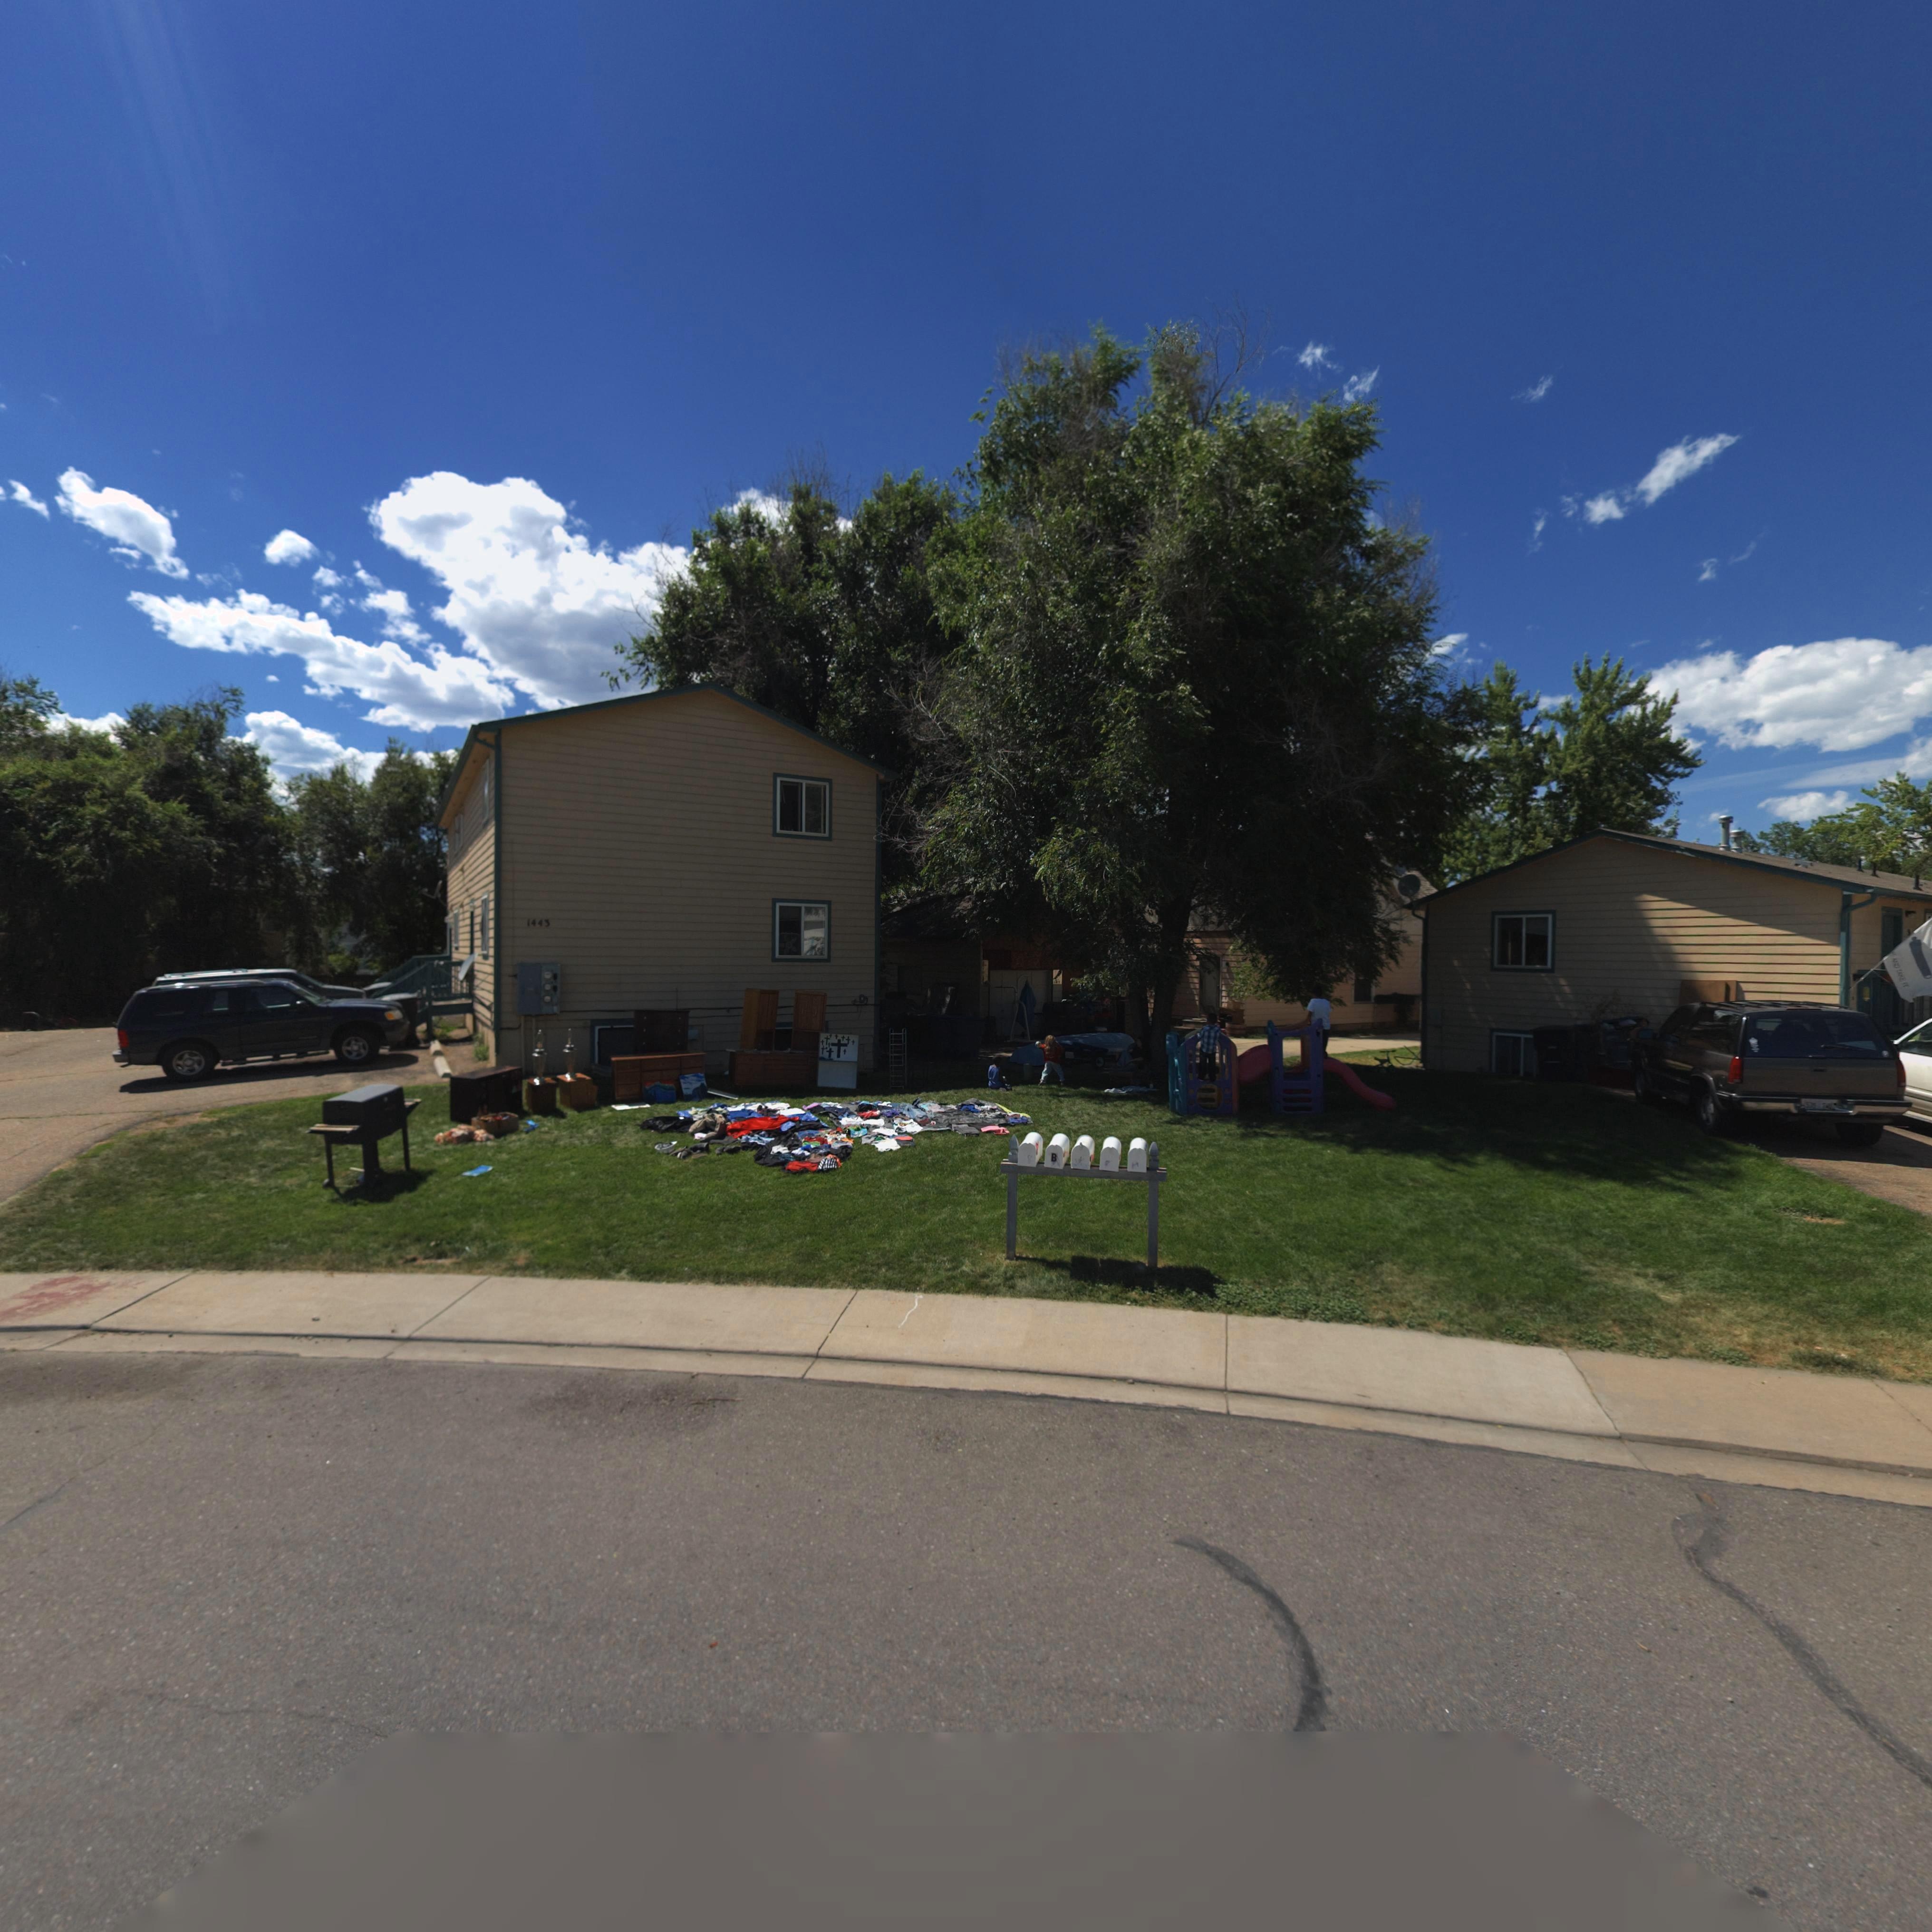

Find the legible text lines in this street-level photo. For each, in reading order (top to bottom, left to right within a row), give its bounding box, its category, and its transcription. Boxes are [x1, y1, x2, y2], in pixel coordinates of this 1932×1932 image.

[526, 918, 550, 927] StreetNumber: 1443